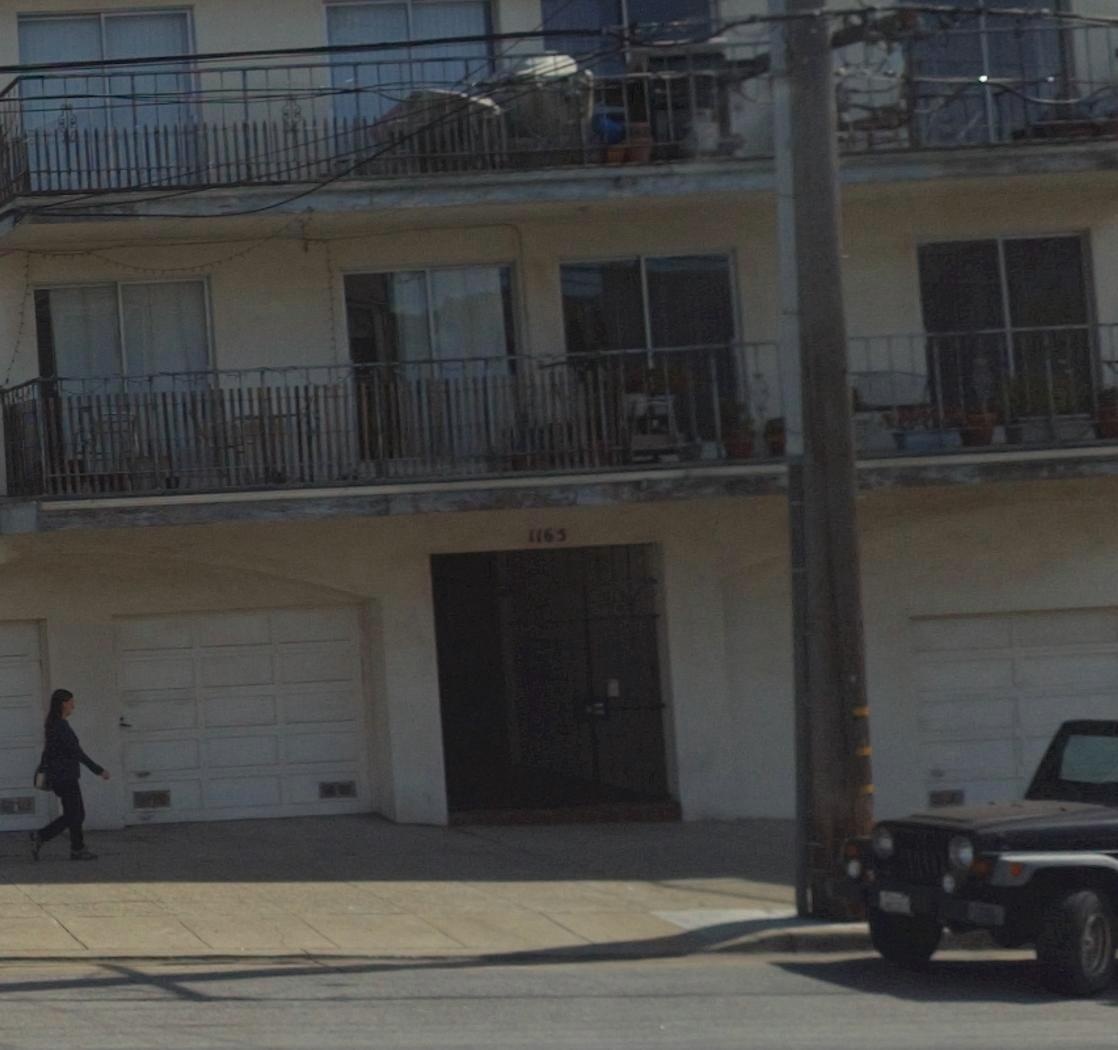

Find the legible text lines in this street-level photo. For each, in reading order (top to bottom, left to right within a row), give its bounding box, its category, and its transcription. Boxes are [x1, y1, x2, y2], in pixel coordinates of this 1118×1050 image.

[526, 526, 567, 544] StreetNumber: 1165